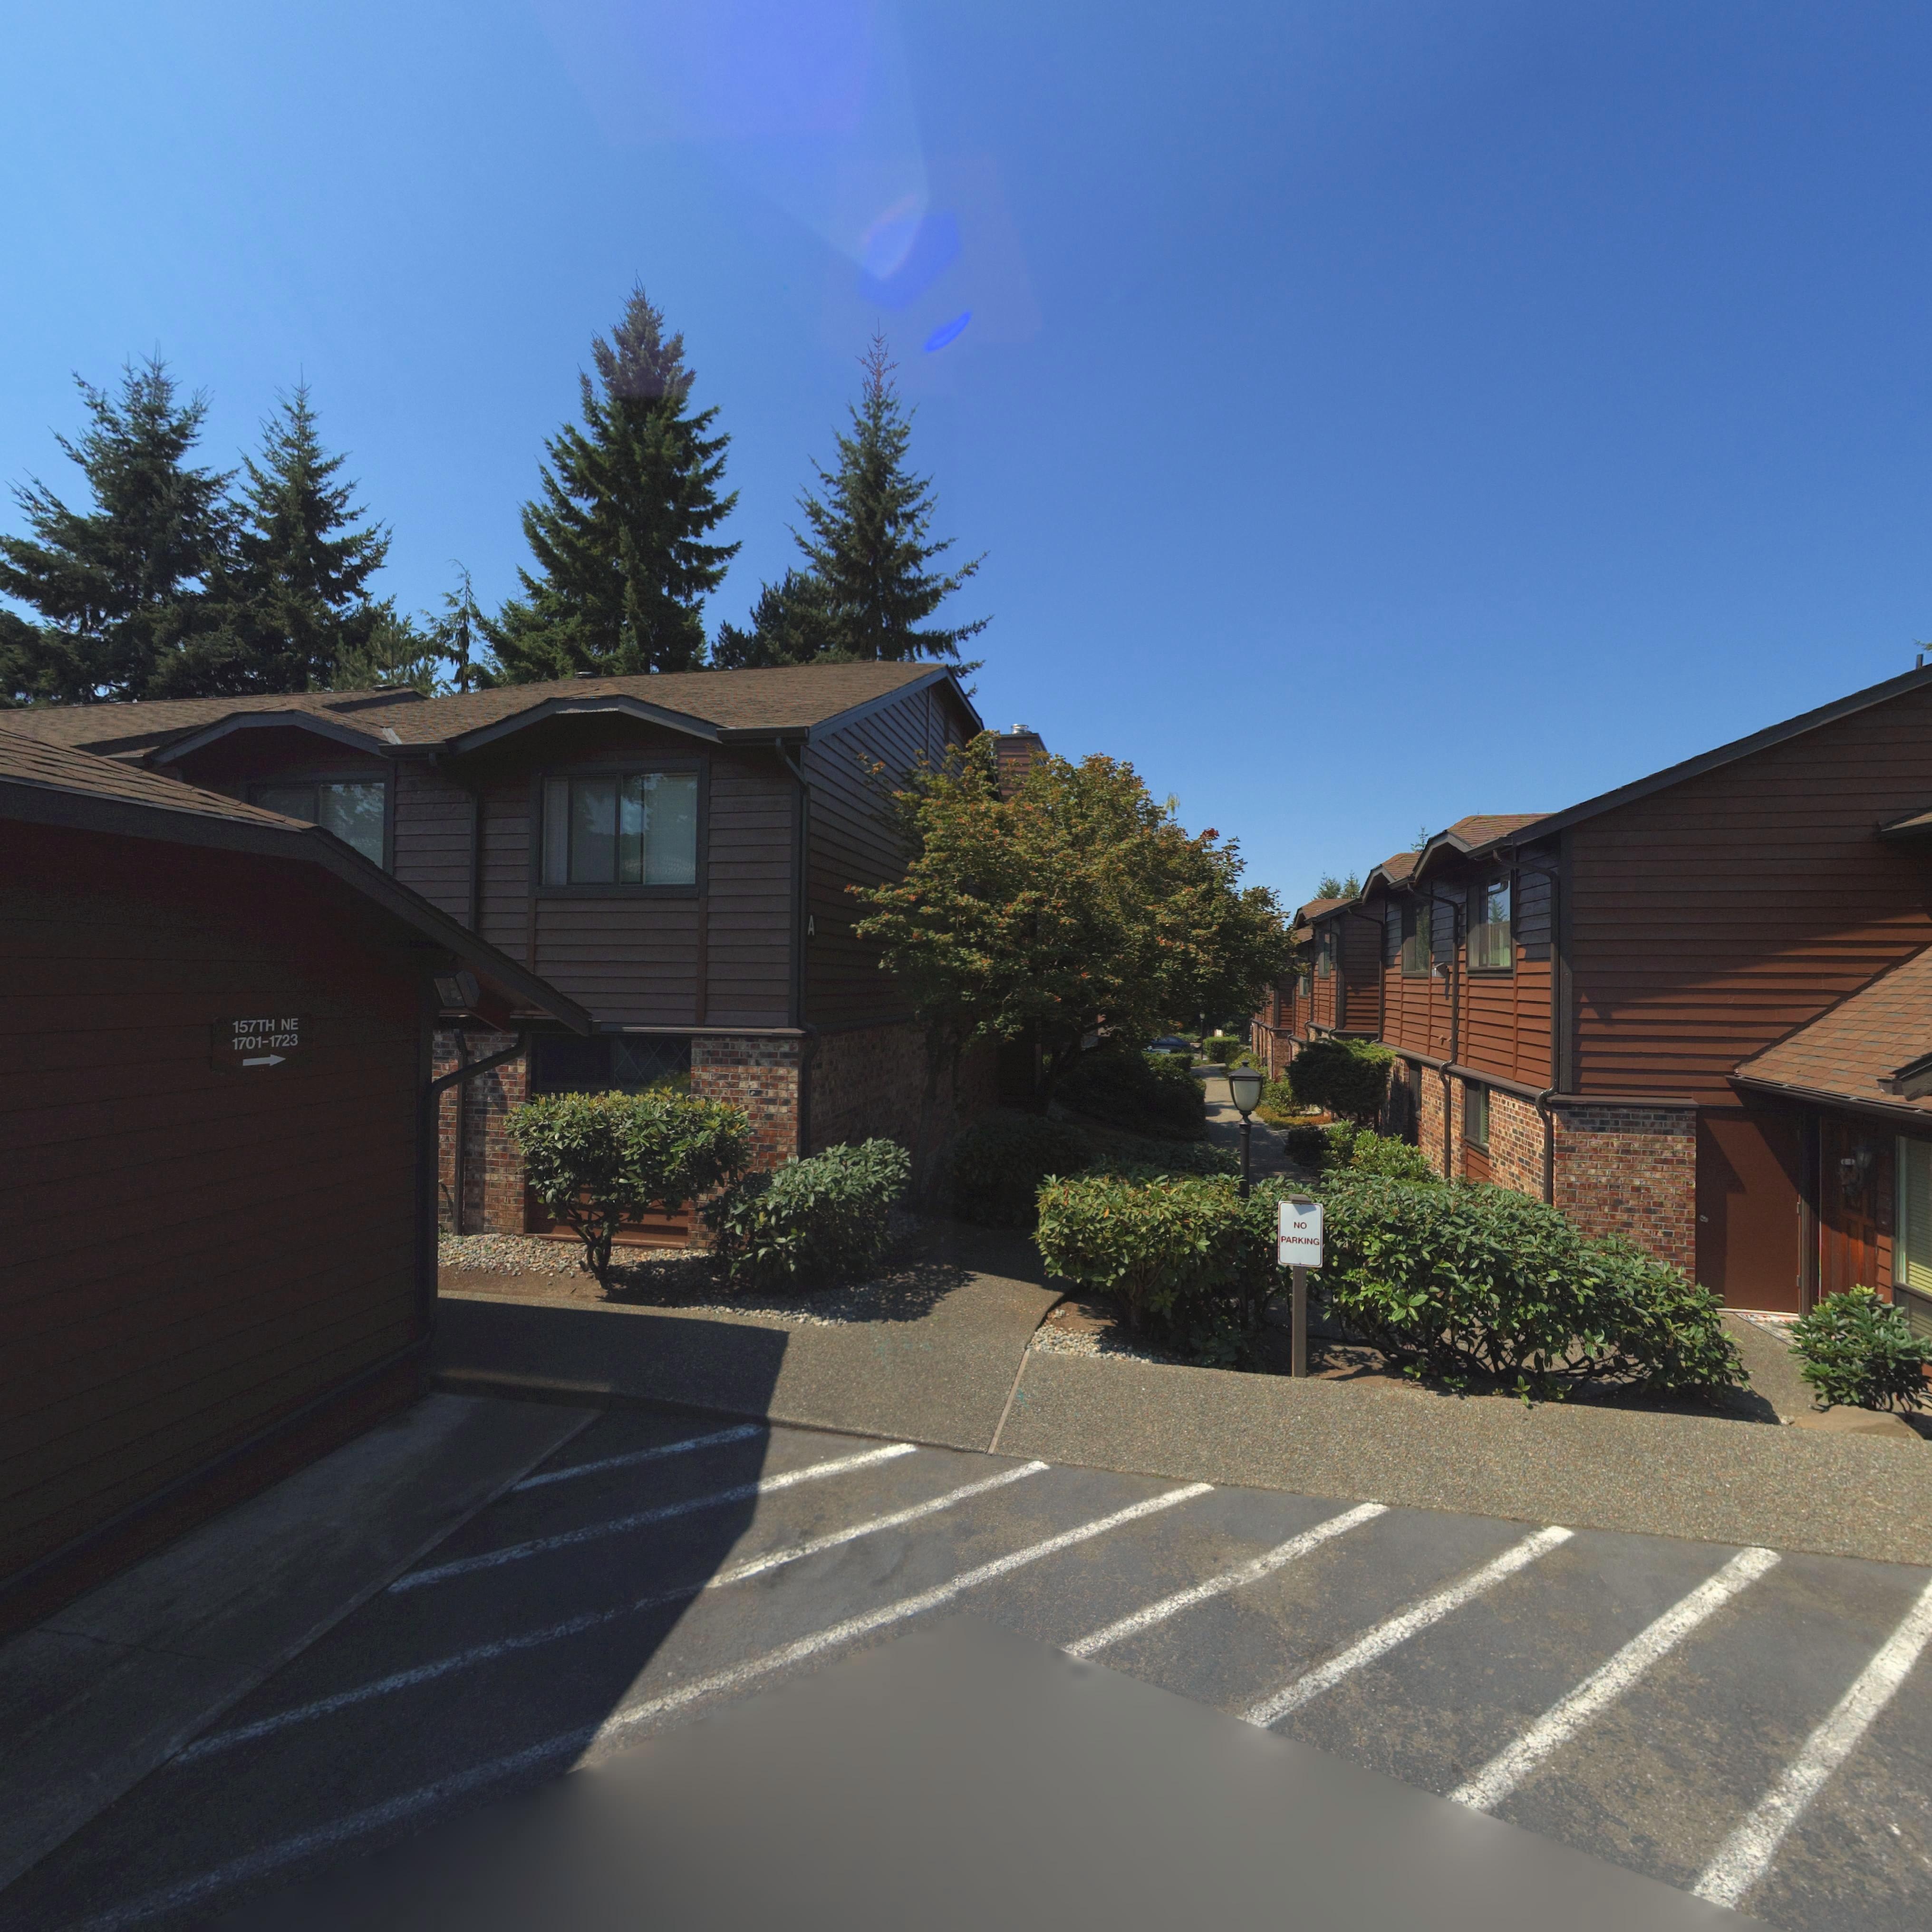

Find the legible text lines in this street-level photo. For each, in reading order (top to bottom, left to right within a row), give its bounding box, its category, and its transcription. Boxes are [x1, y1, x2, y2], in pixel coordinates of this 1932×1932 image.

[233, 1018, 298, 1032] StreetName: 157TH NE
[232, 1034, 299, 1050] StreetNumberRange: 1701-1723